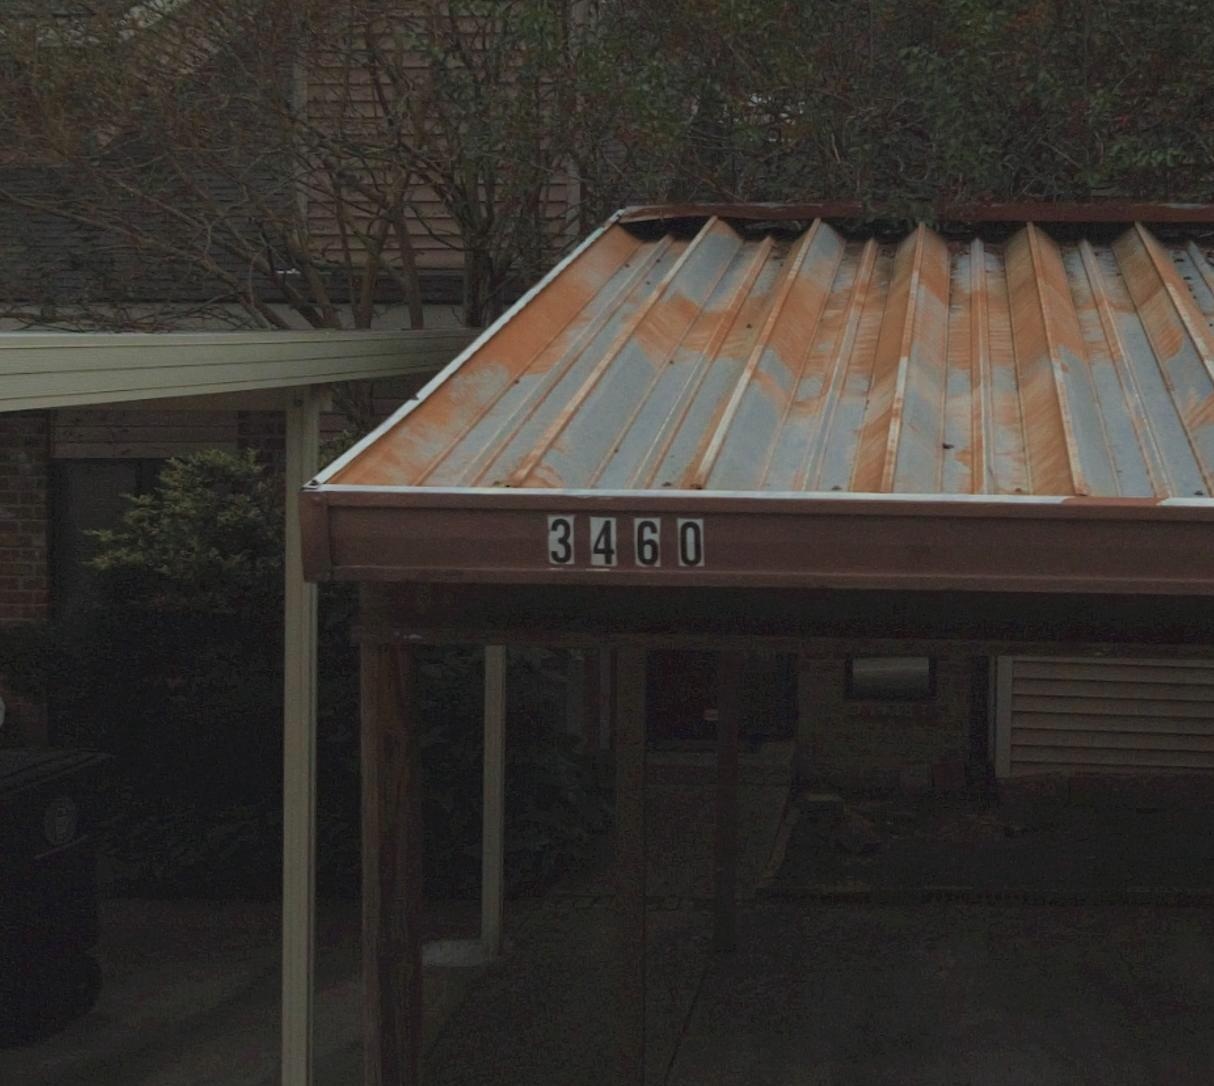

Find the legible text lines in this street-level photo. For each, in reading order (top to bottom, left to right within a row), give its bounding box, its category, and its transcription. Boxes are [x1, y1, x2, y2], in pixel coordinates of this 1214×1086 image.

[550, 518, 704, 567] StreetNumber: 3460